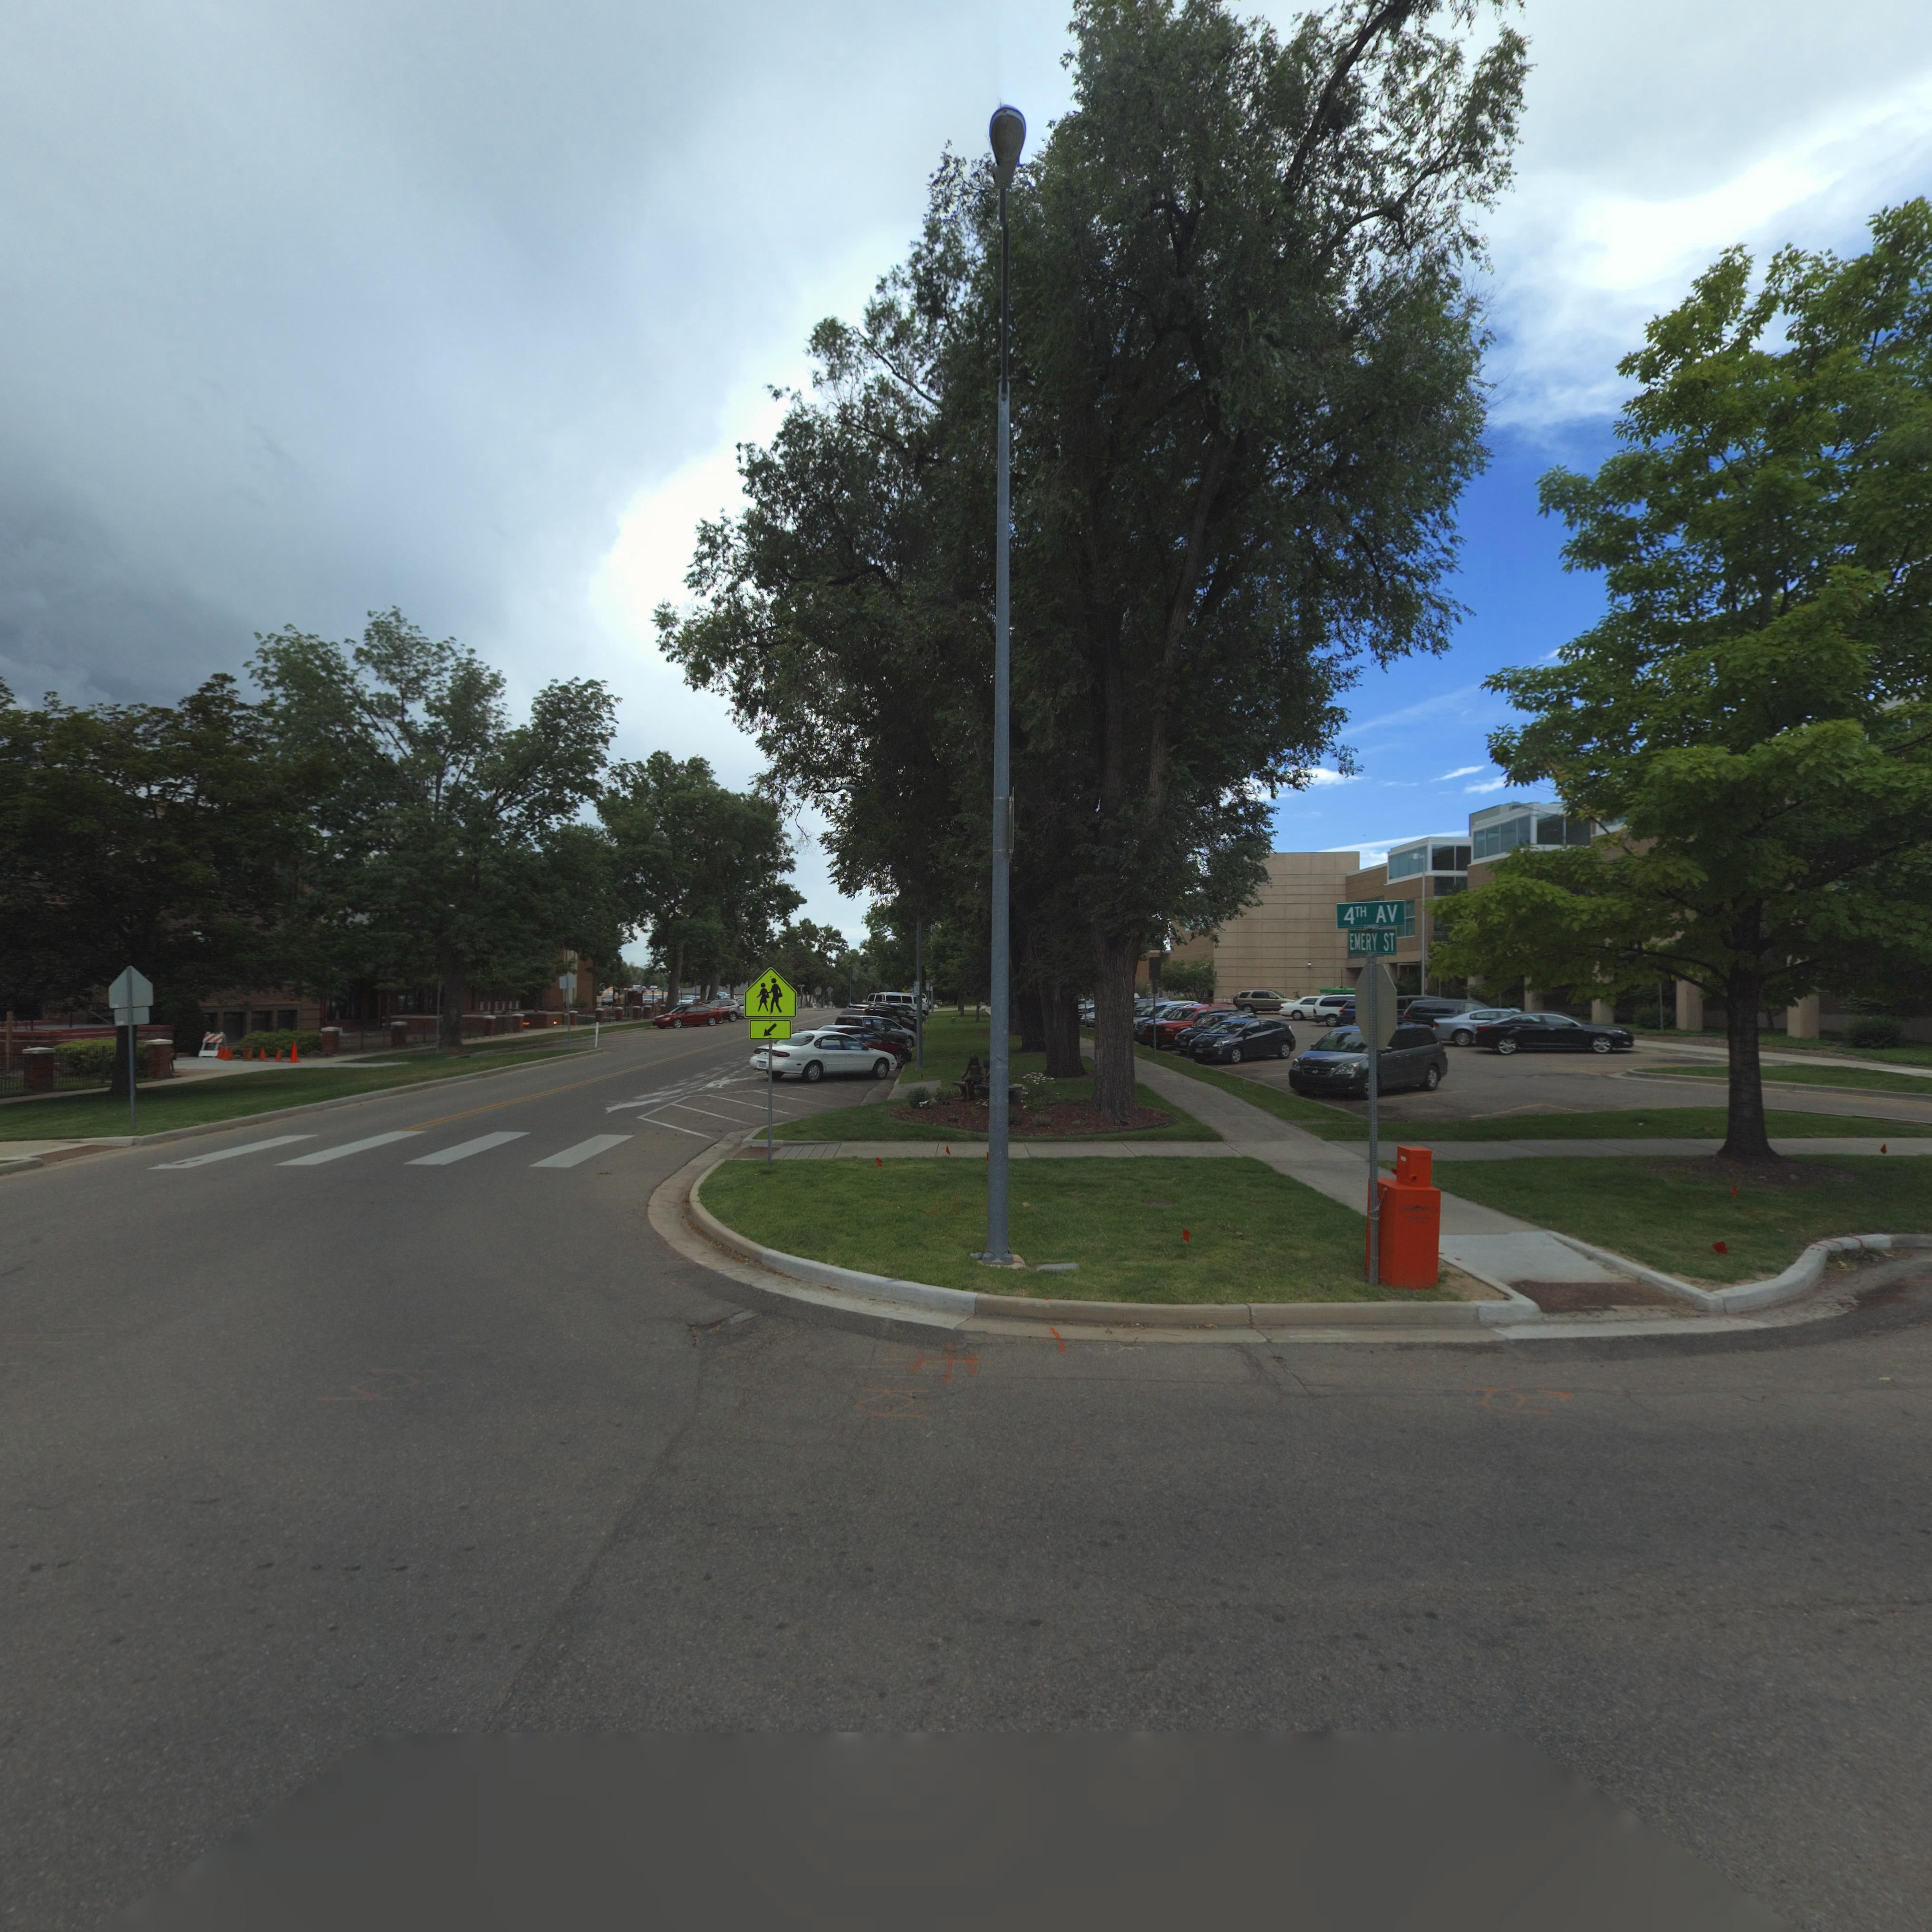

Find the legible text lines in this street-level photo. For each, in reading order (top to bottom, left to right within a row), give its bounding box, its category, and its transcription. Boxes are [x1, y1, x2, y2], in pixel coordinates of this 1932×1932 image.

[1343, 904, 1398, 925] StreetName: 4TH AV
[1349, 932, 1395, 951] StreetName: EMERY ST